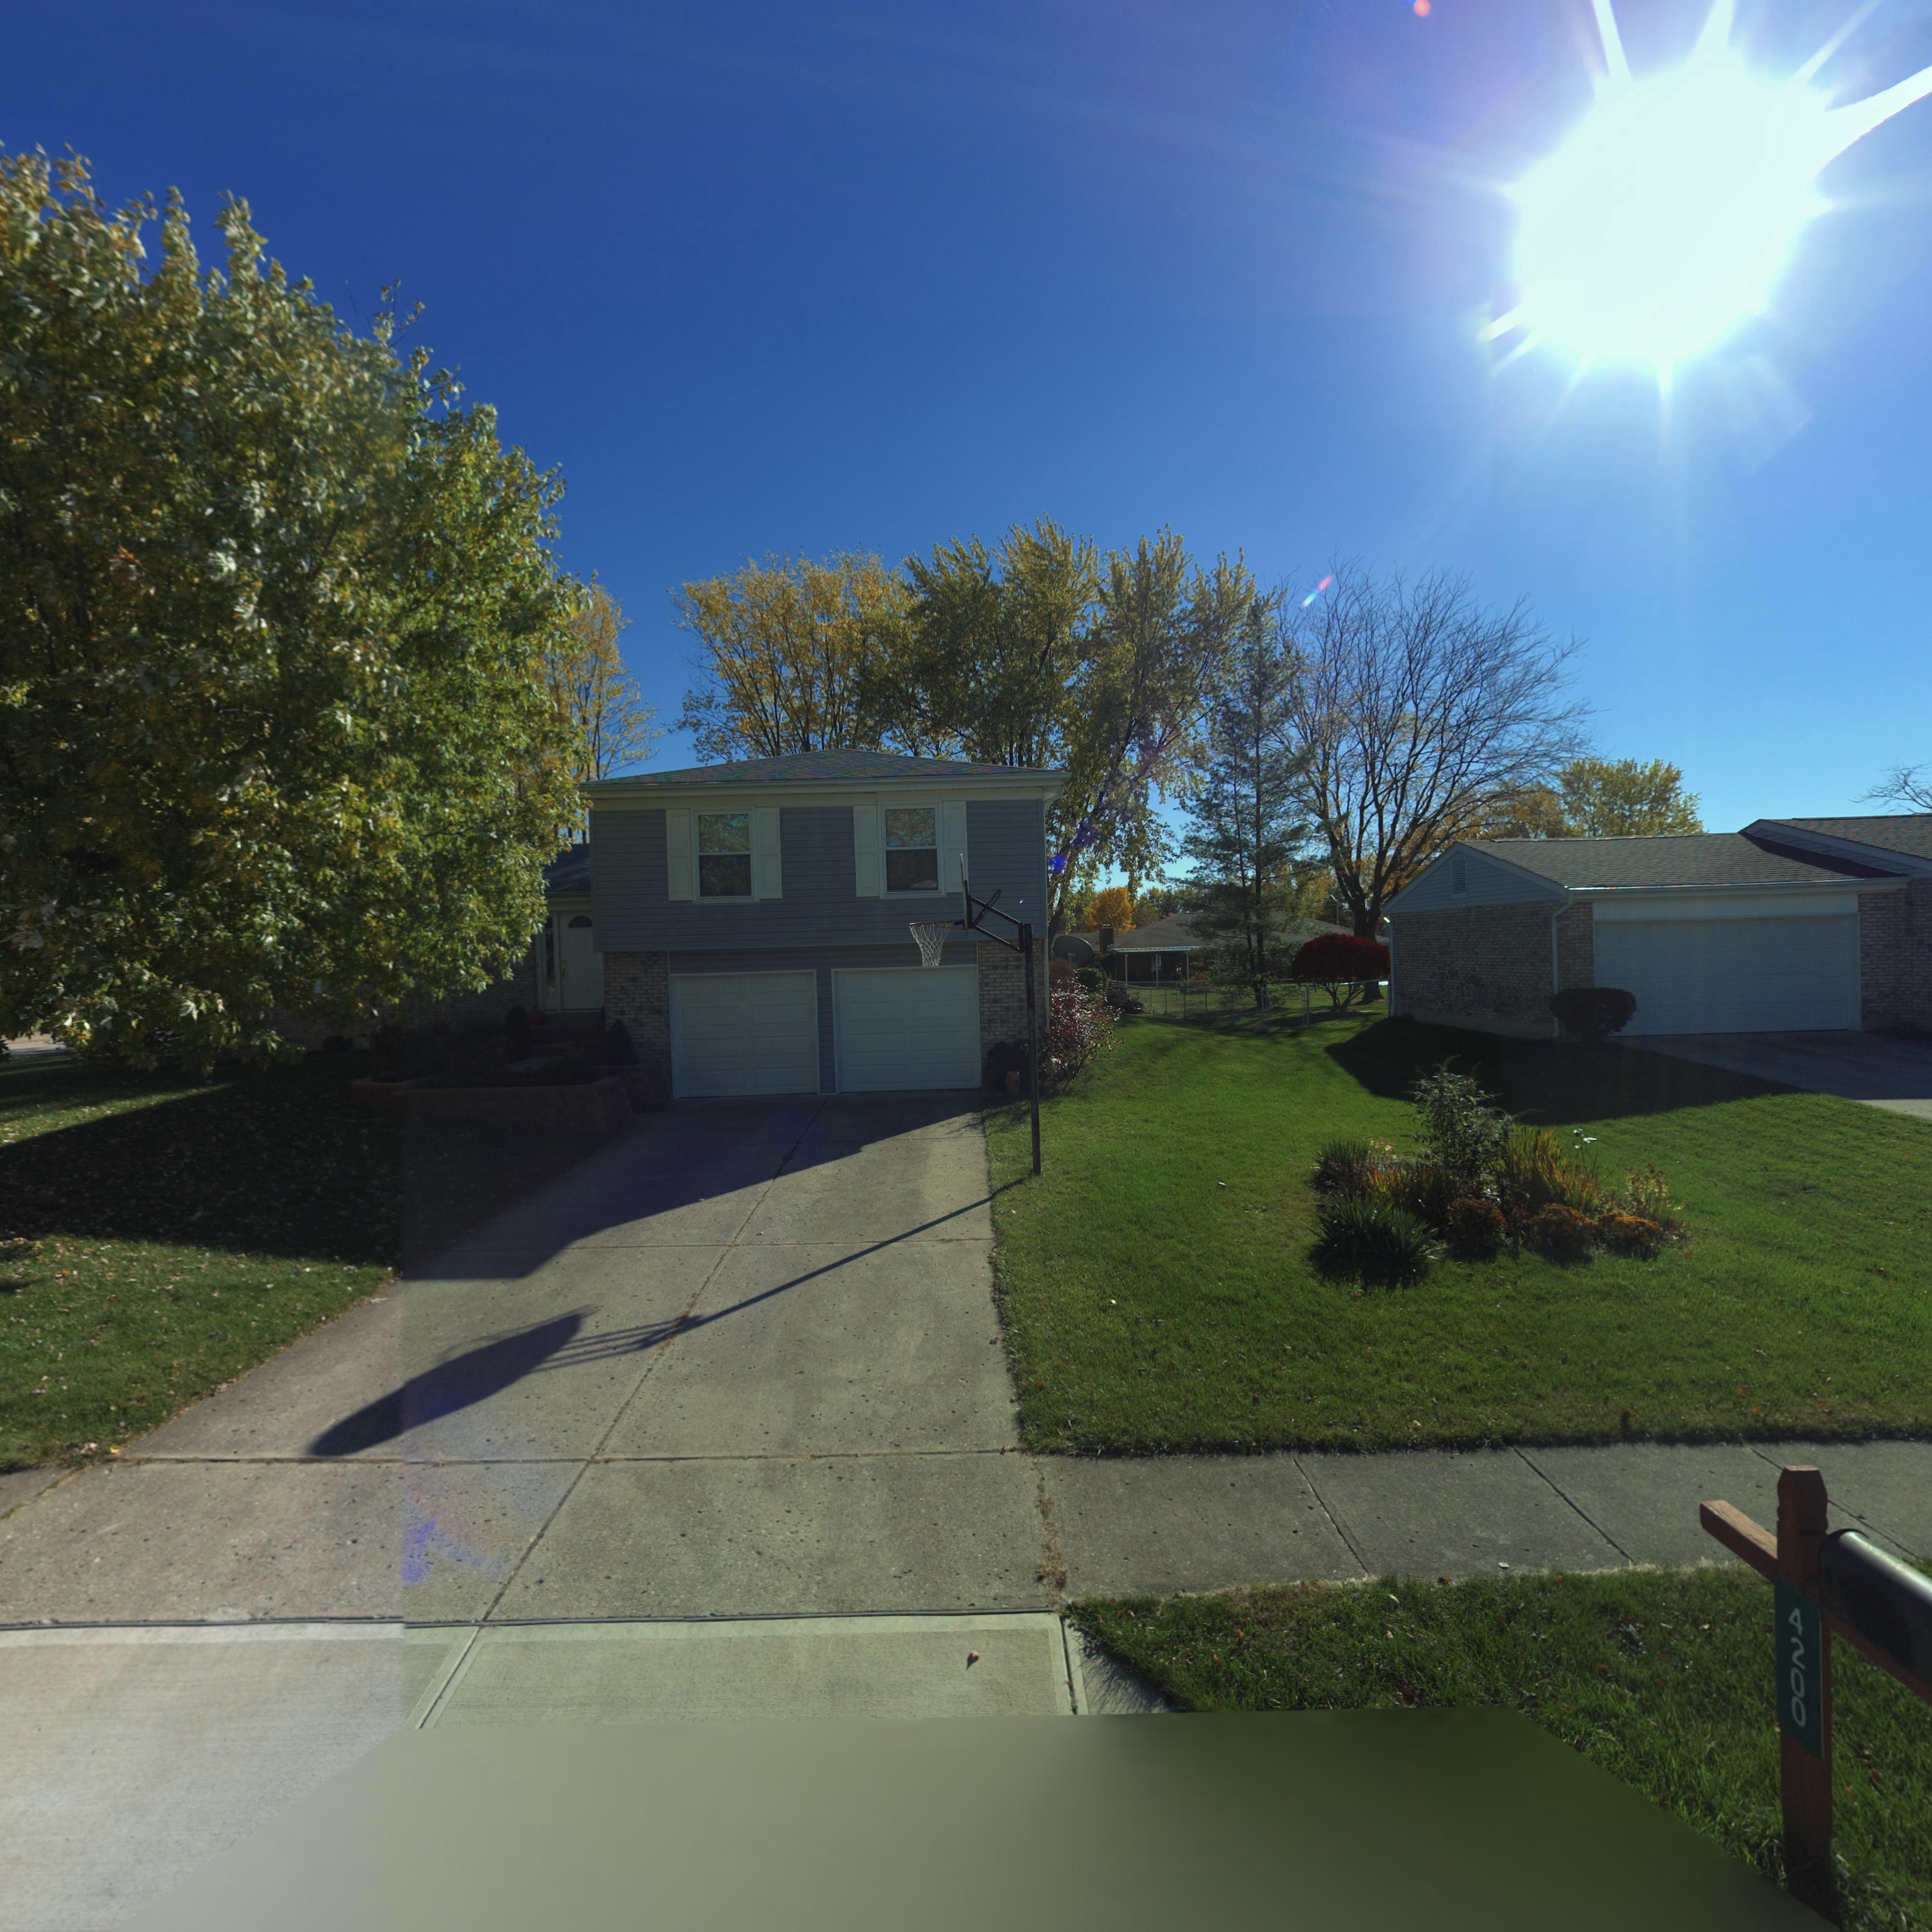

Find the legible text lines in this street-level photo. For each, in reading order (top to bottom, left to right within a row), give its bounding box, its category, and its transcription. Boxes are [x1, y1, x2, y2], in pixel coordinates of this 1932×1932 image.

[1786, 1604, 1809, 1733] StreetNumber: 4200